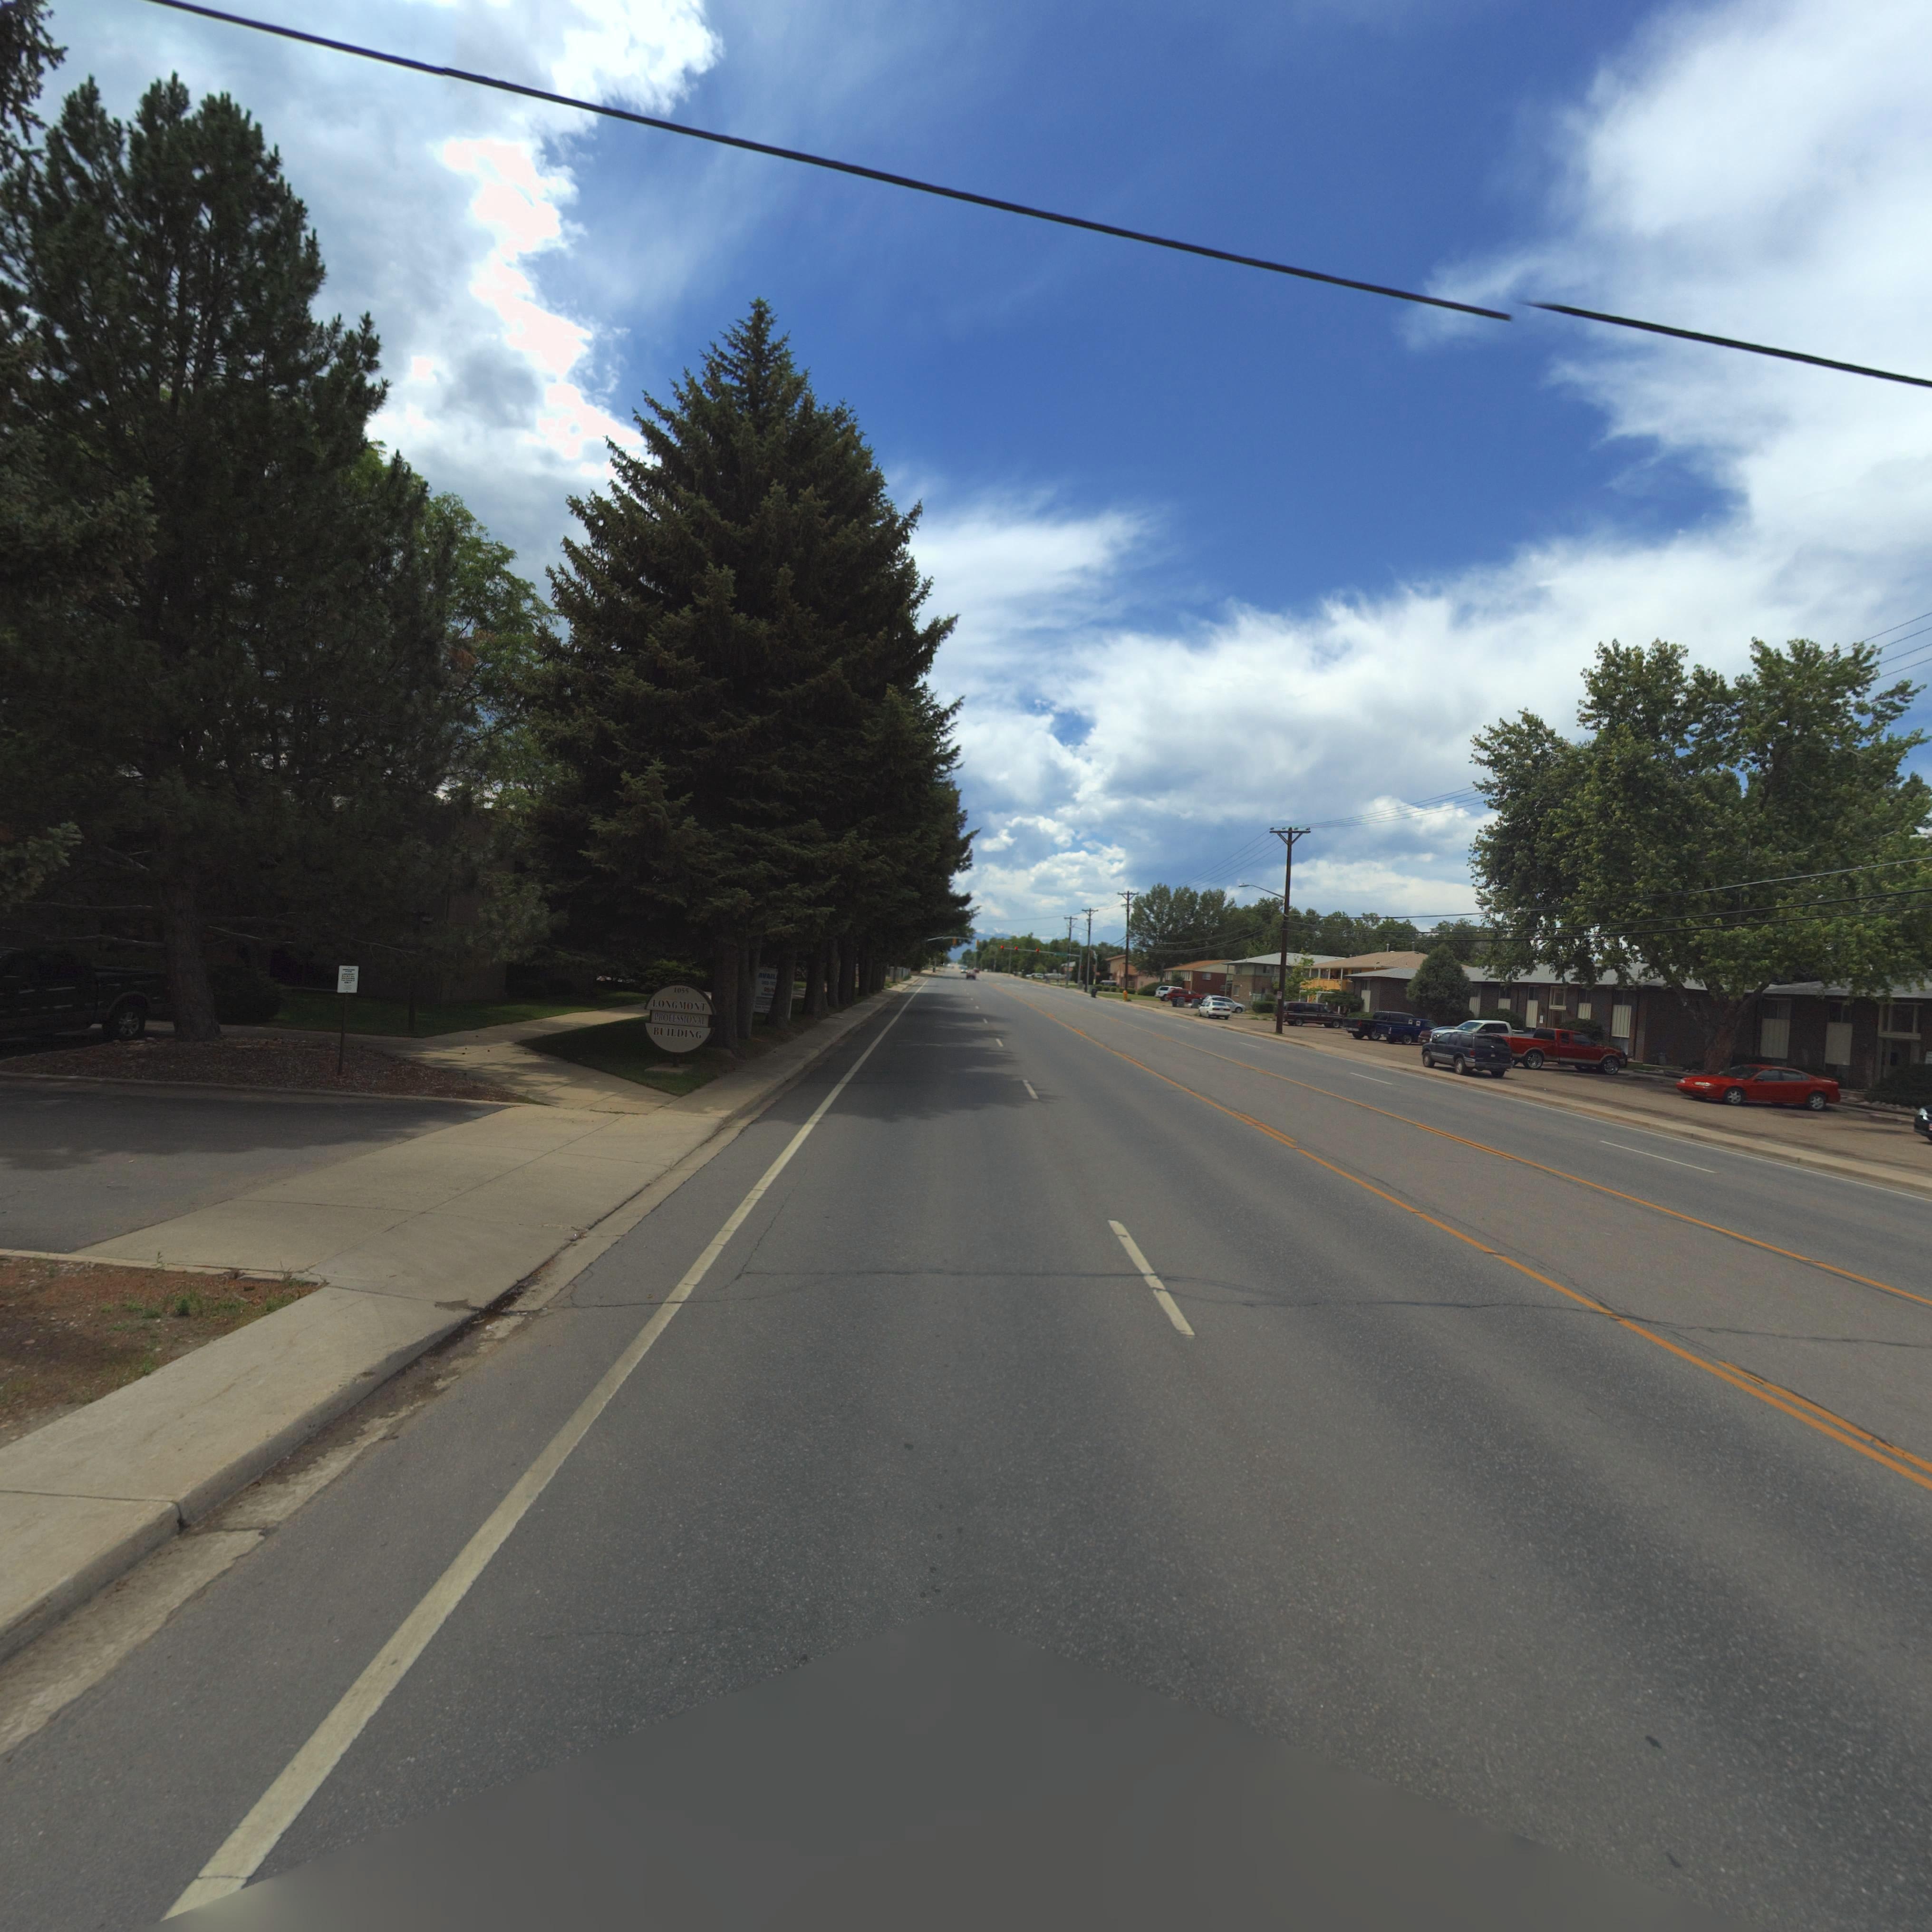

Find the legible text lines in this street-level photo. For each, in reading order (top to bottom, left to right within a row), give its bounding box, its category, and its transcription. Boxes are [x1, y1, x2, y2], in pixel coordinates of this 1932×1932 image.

[674, 987, 689, 994] StreetNumber: 1055
[652, 998, 707, 1012] BusinessName: LONGMONT
[654, 1012, 706, 1024] BusinessName: PROFESSIONAL
[653, 1026, 702, 1039] BusinessName: BUILDING